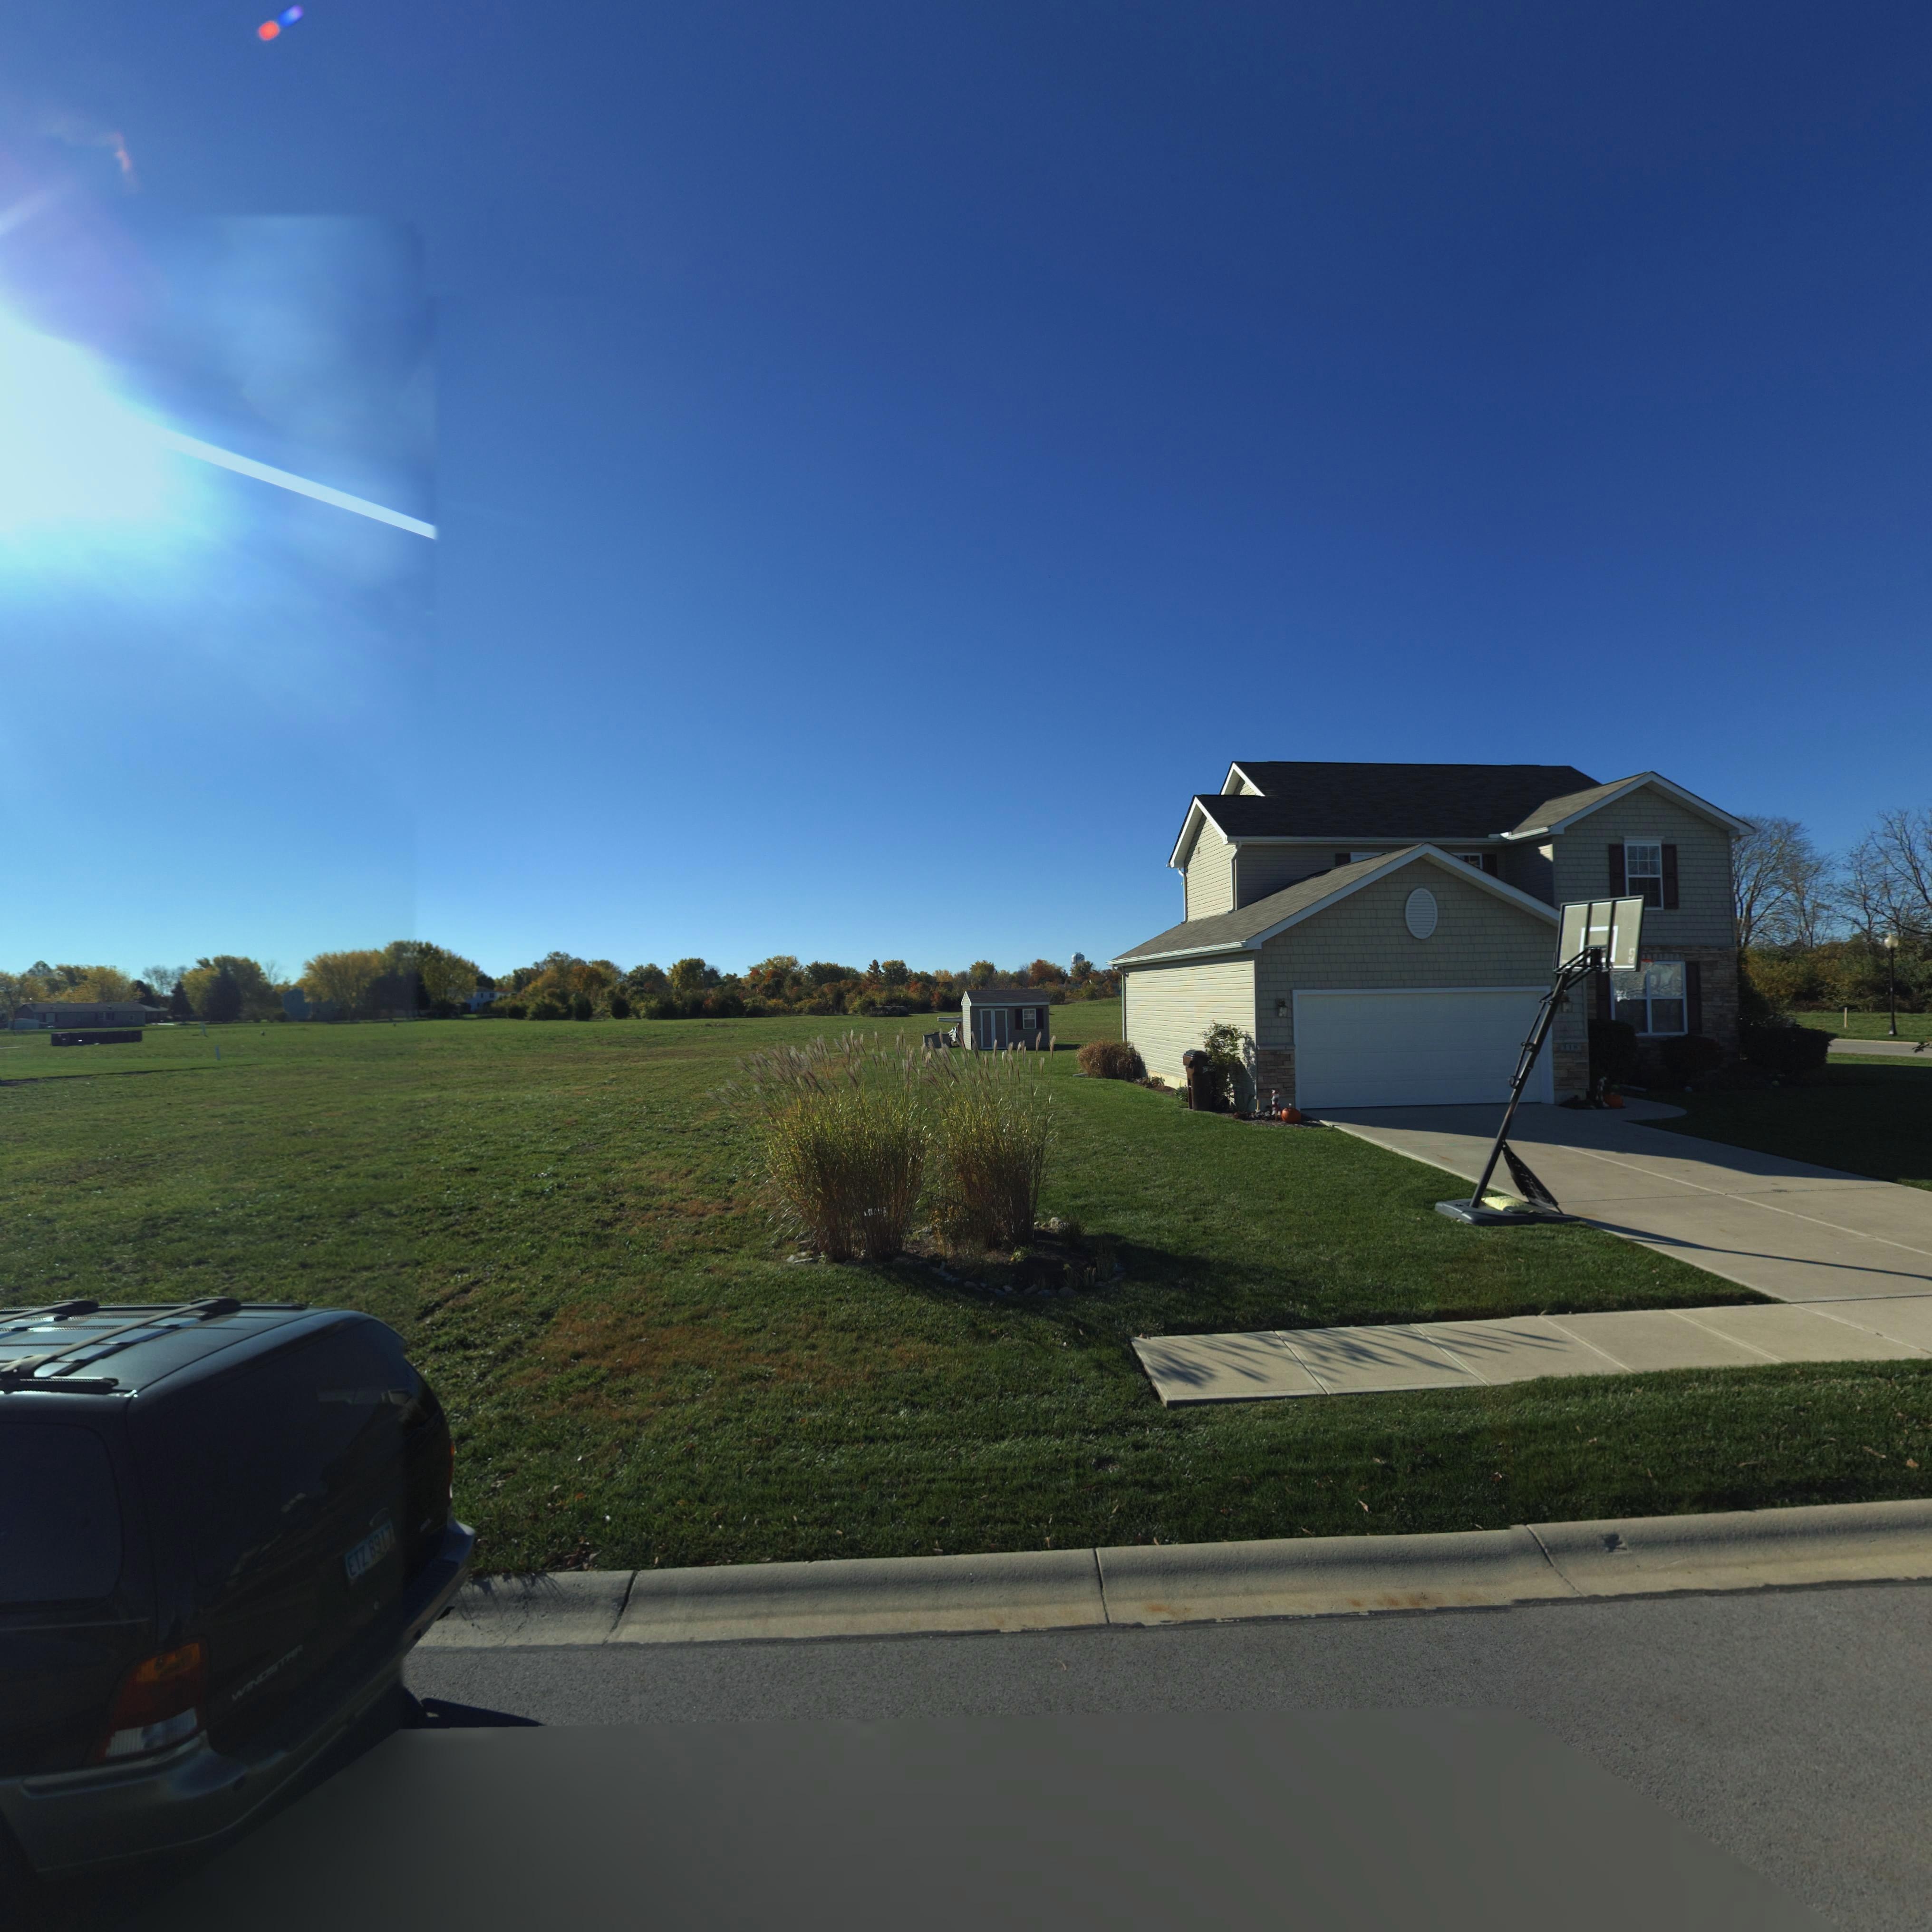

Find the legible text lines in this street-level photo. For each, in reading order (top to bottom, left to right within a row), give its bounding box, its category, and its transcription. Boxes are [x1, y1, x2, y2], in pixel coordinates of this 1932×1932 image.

[1563, 1043, 1578, 1050] StreetNumber: 118